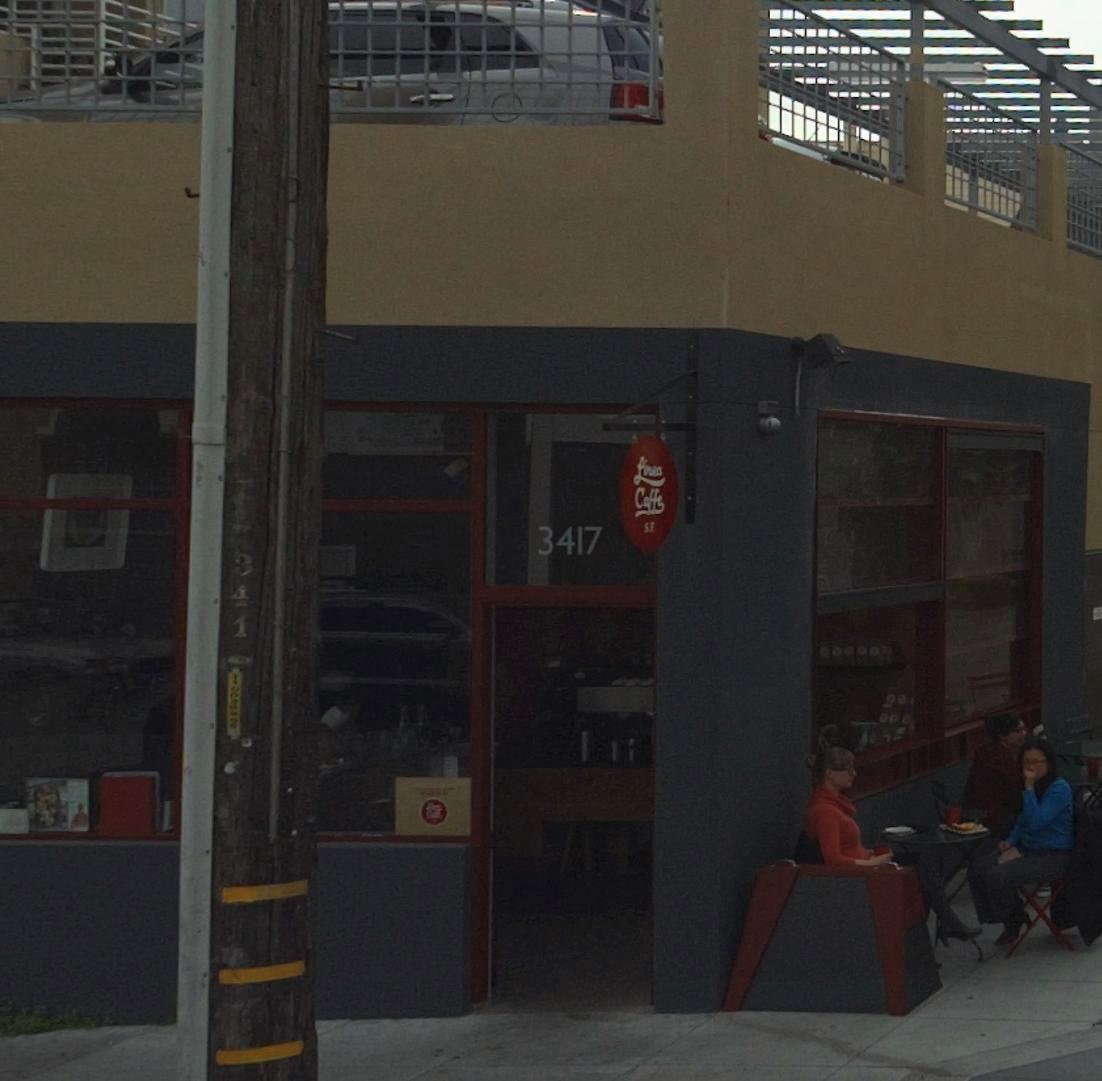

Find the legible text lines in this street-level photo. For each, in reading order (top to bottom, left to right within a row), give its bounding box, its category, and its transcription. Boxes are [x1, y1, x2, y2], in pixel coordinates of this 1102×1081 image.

[632, 486, 665, 508] BusinessName: Caffe
[536, 524, 605, 557] StreetNumber: 3417
[231, 550, 254, 639] None: 341